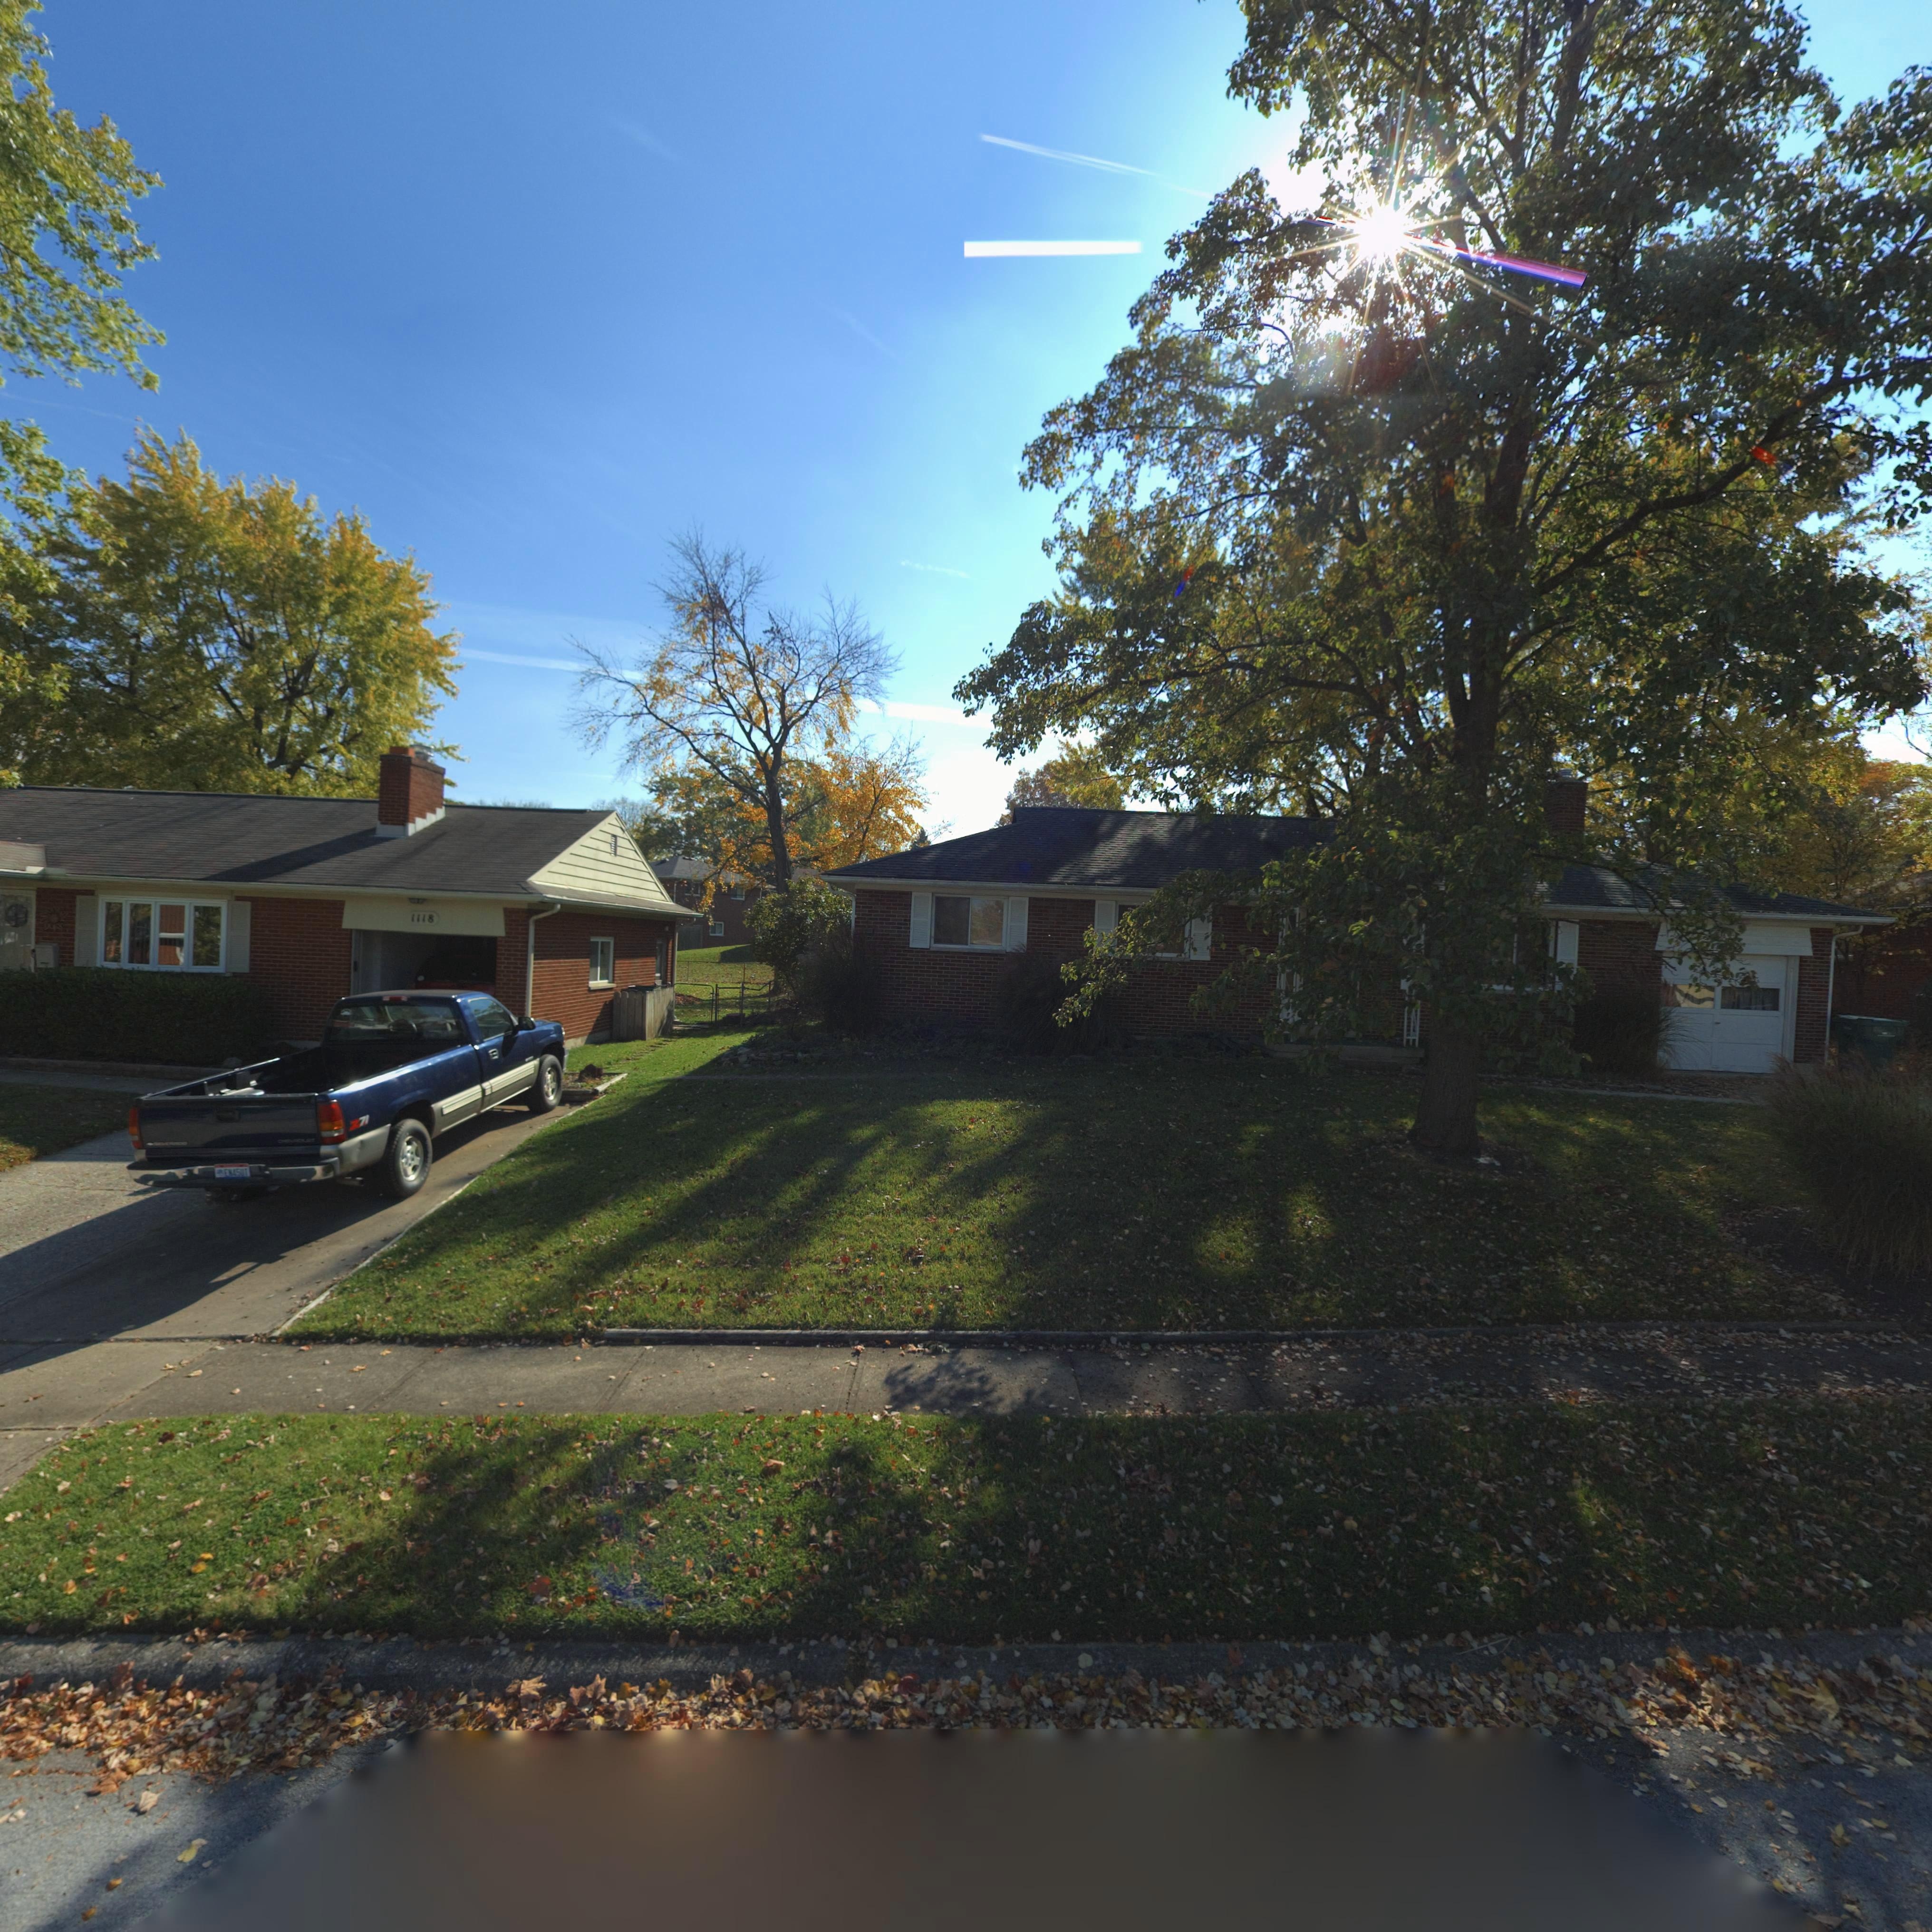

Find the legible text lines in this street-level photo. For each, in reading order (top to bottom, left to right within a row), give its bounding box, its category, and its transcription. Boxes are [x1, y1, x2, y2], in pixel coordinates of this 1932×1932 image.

[410, 913, 435, 924] StreetNumber: 1118